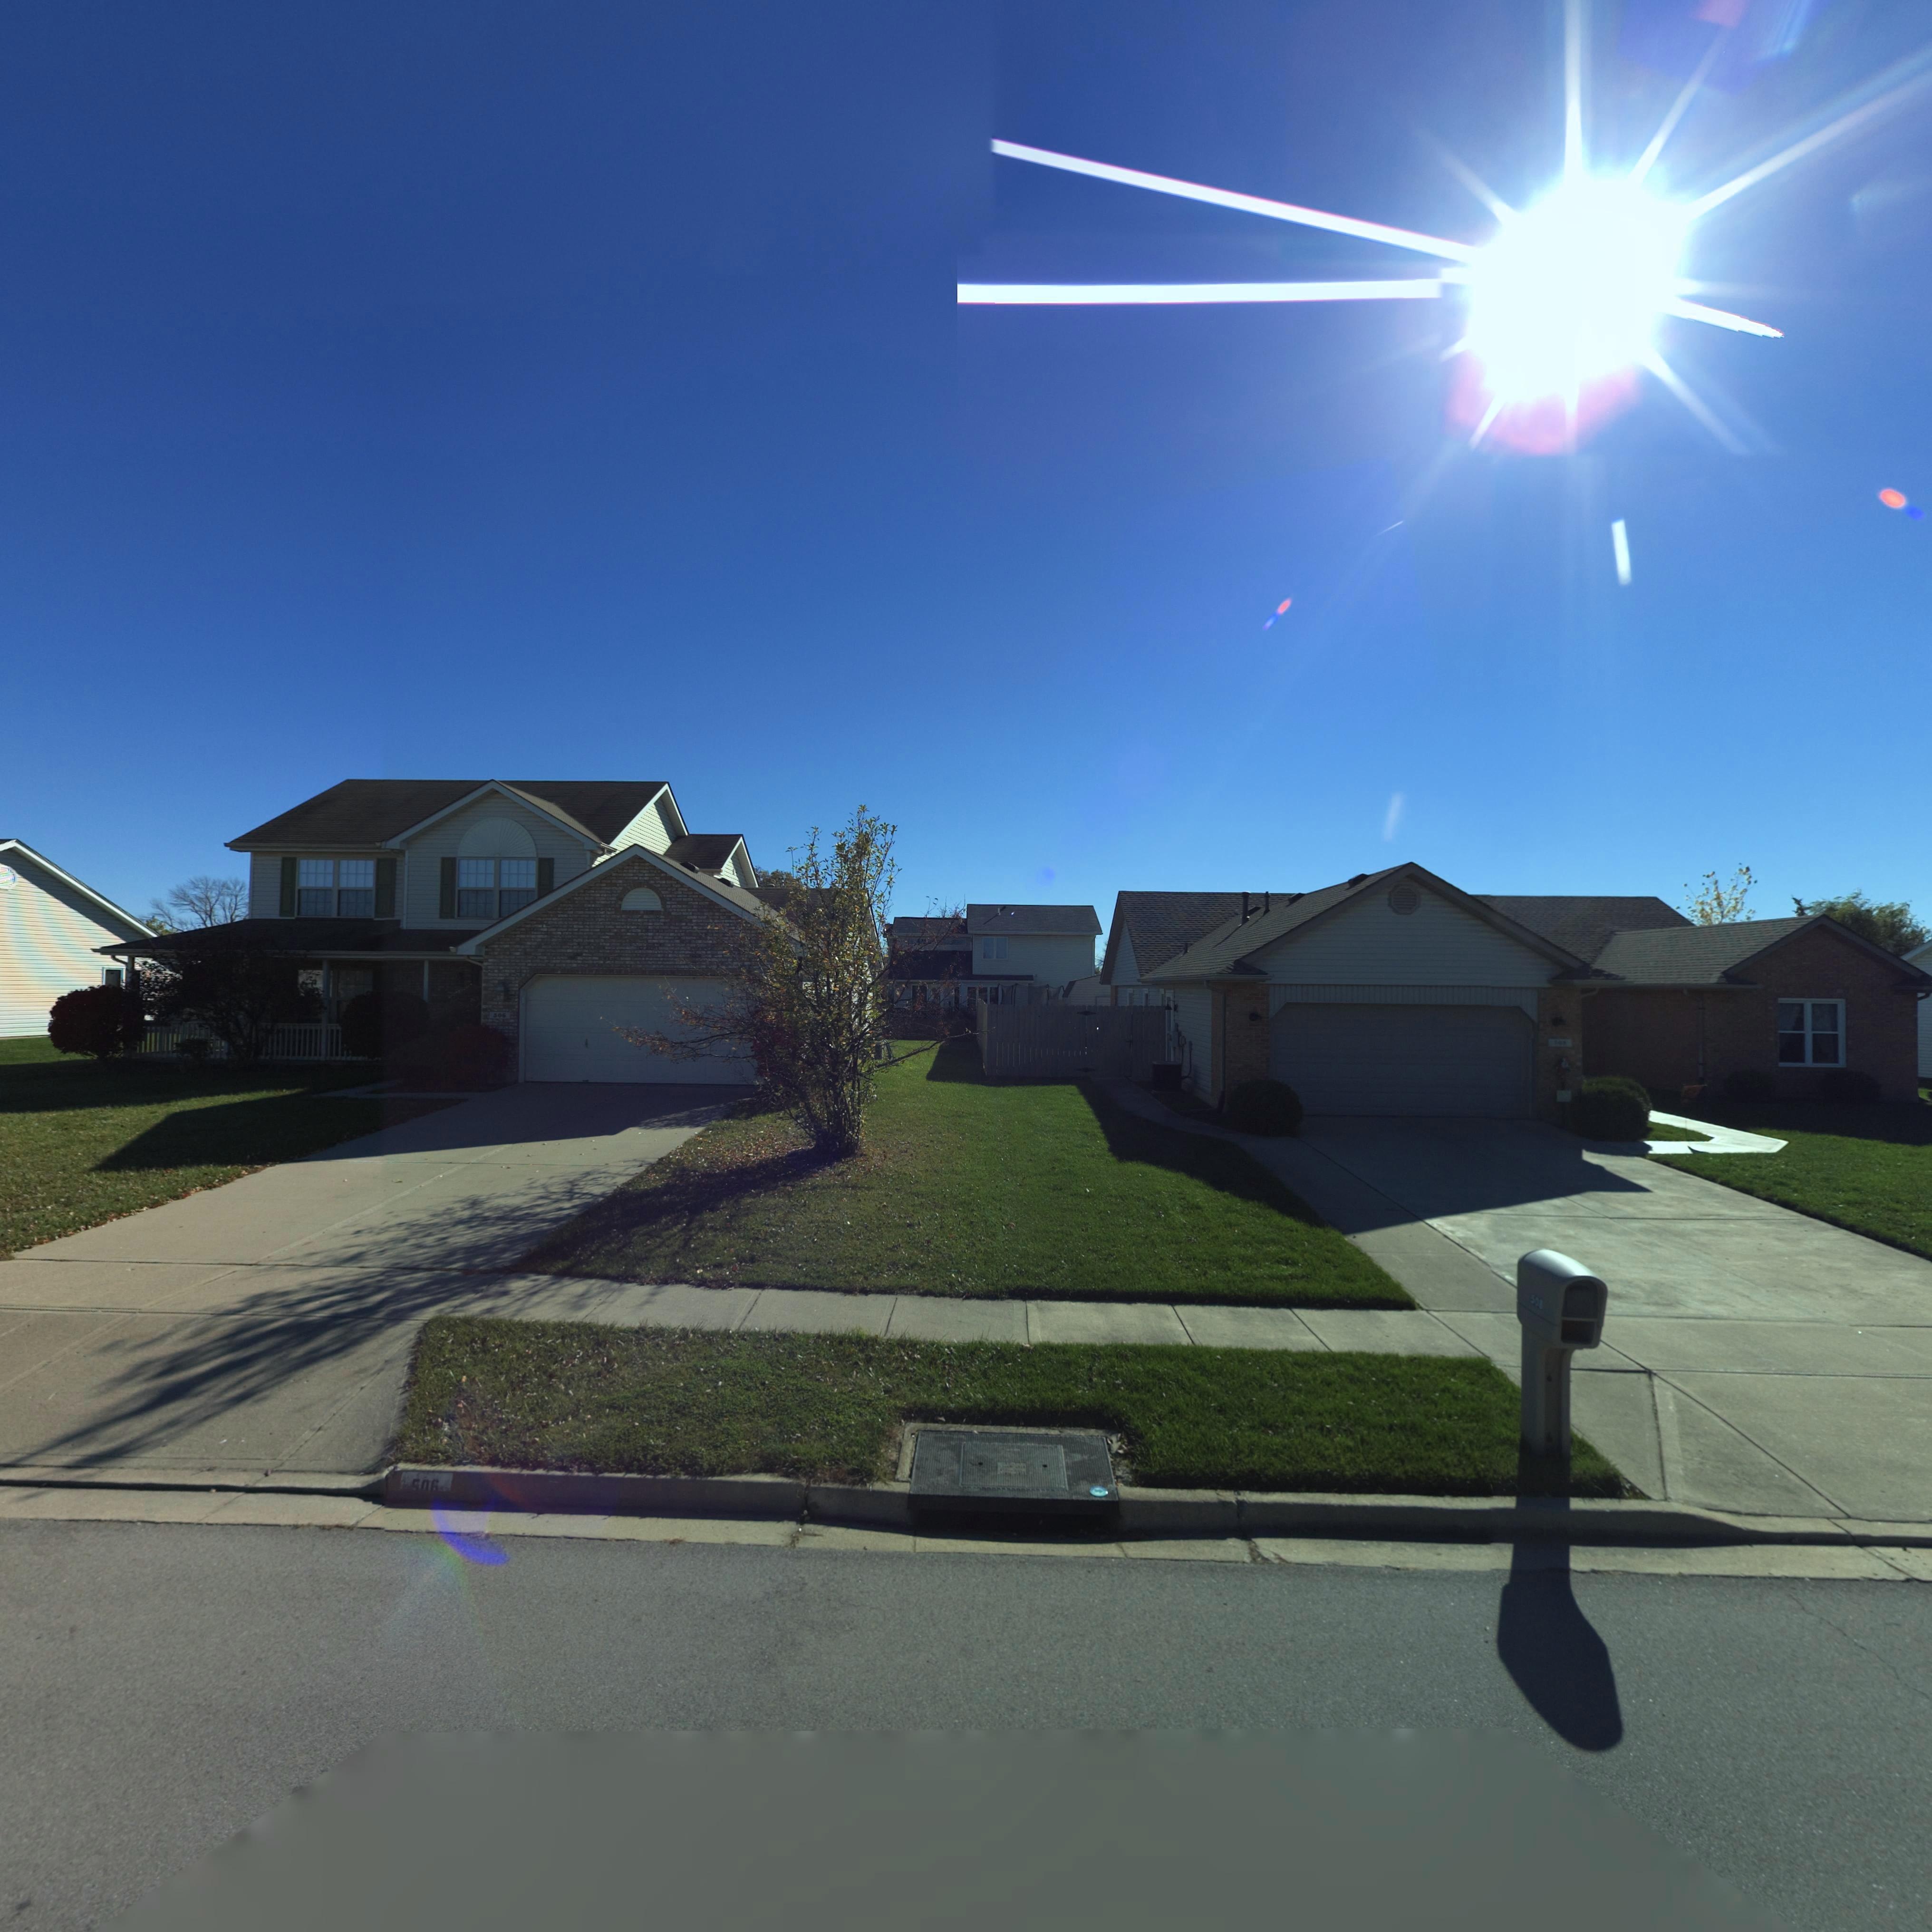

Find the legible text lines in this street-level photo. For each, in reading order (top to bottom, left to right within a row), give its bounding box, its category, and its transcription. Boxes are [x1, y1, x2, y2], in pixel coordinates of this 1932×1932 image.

[493, 1012, 507, 1019] StreetNumber: 506